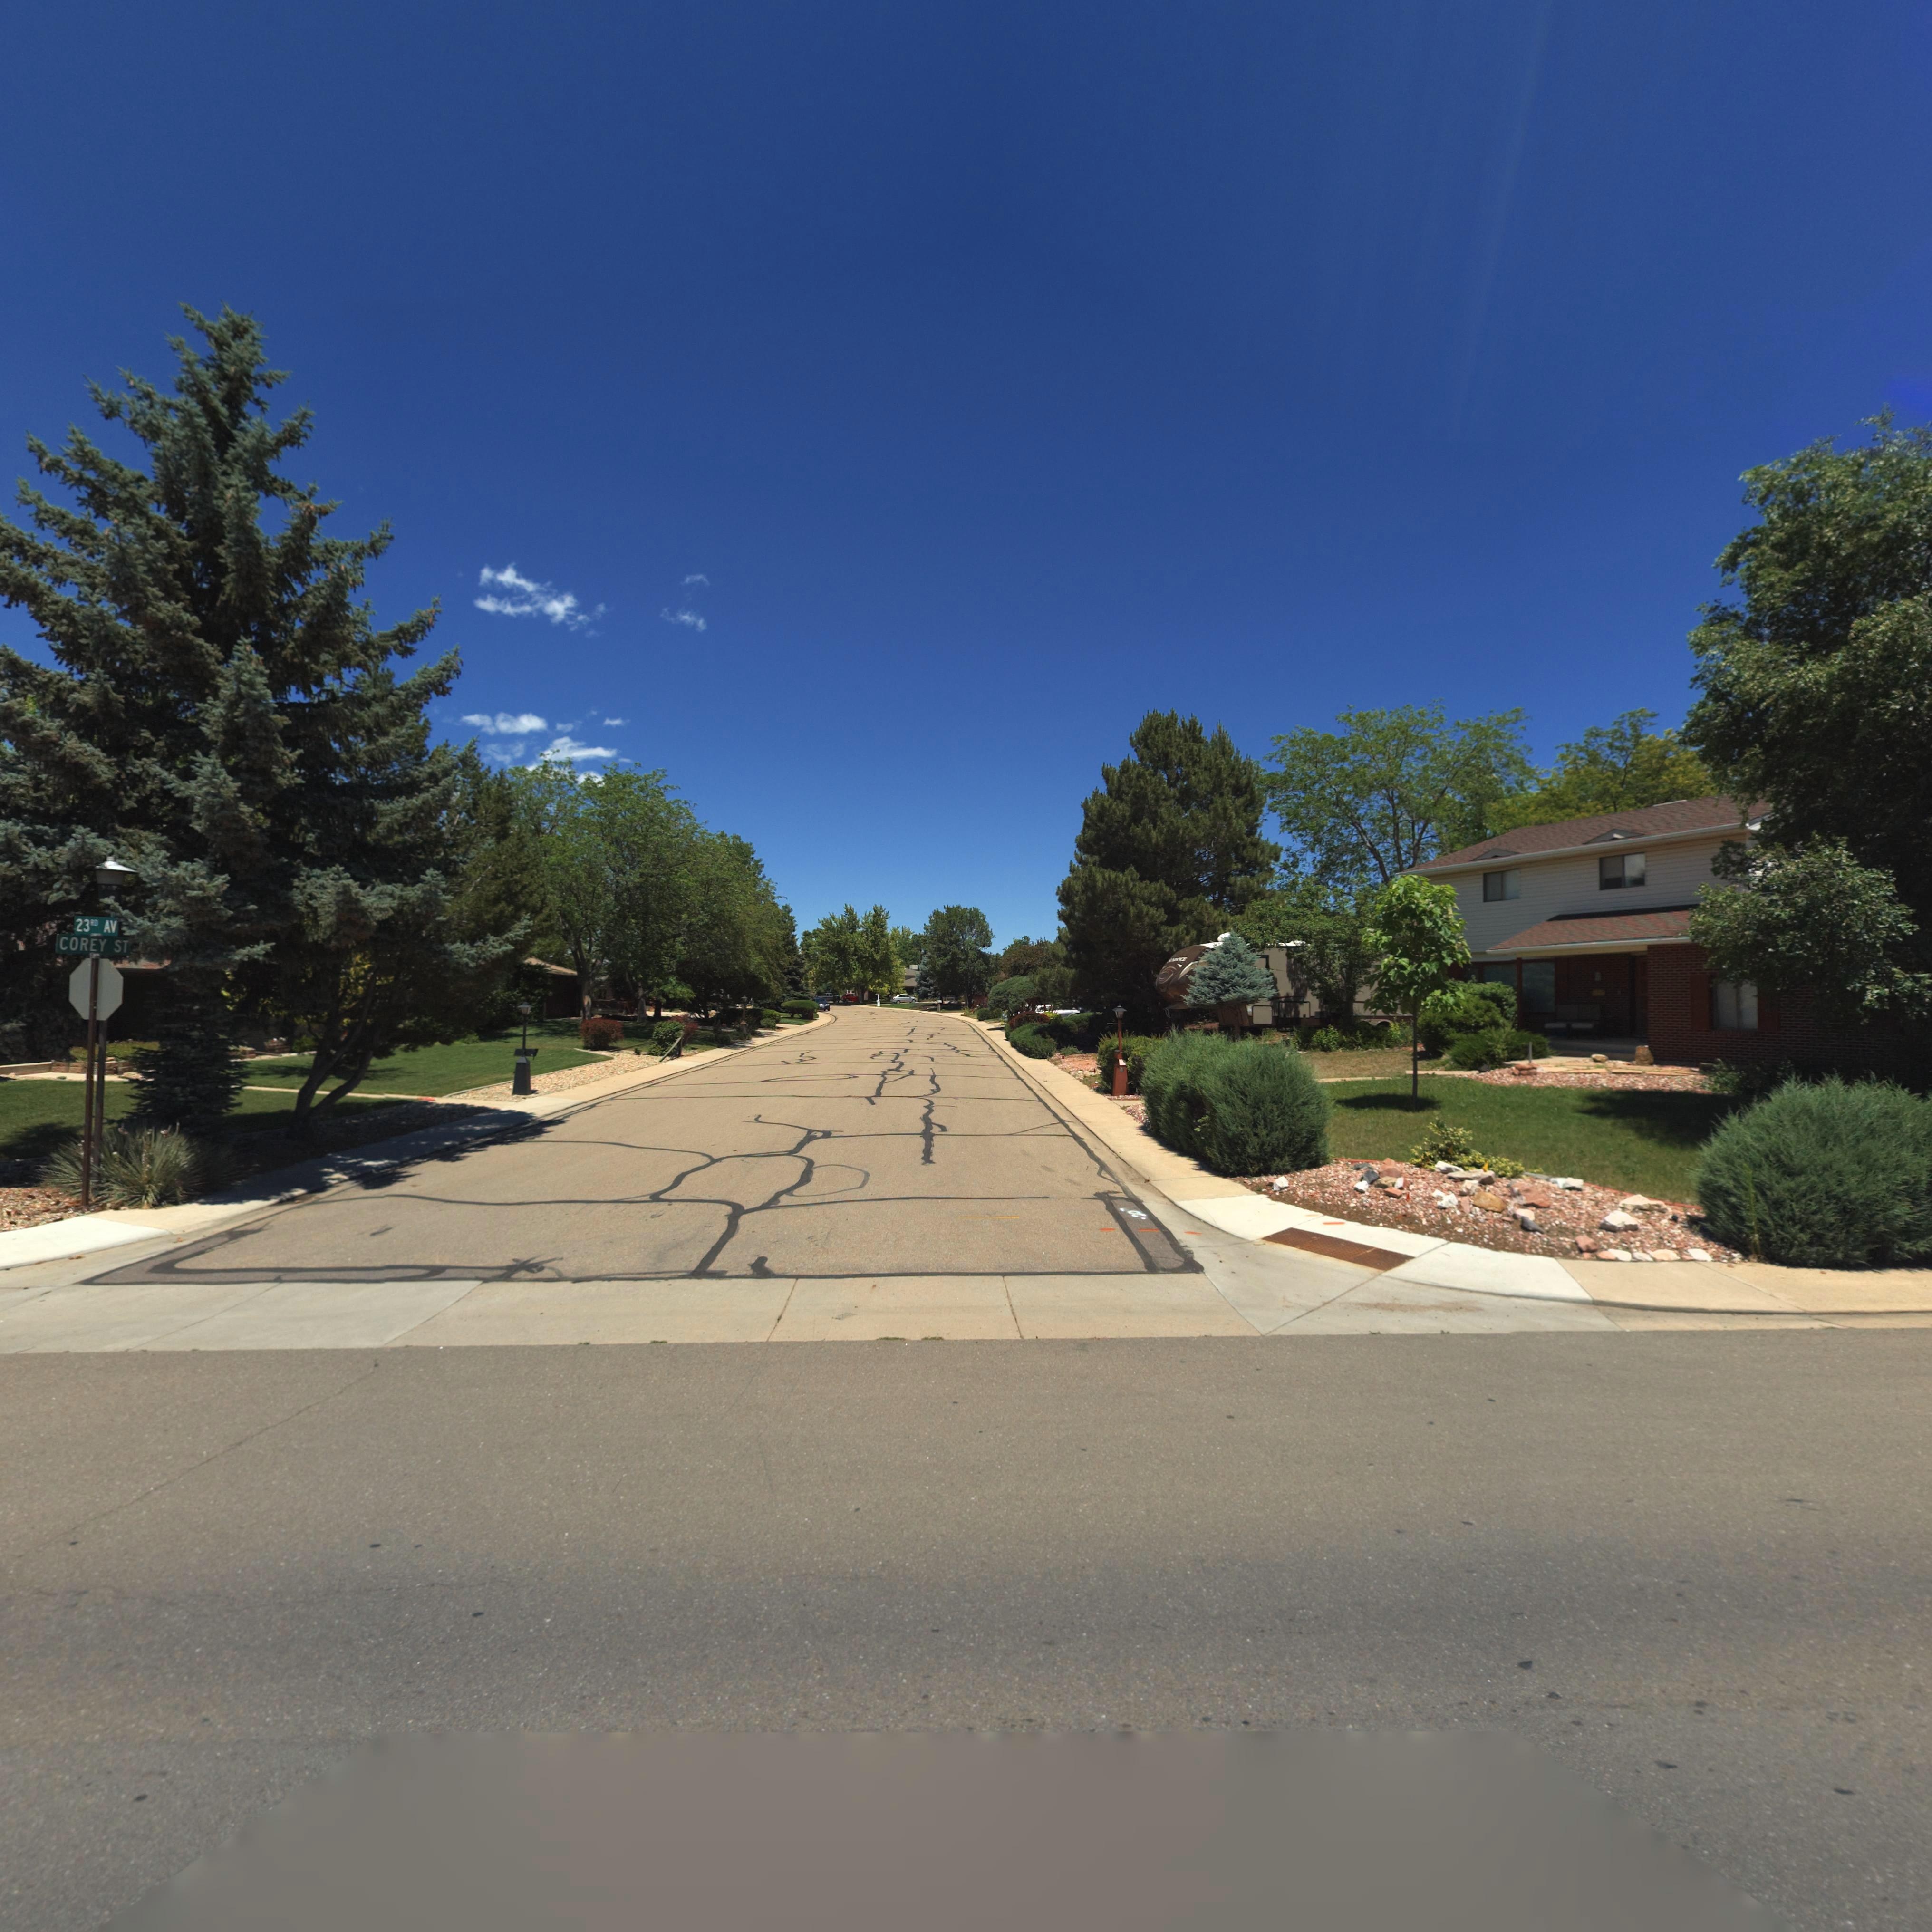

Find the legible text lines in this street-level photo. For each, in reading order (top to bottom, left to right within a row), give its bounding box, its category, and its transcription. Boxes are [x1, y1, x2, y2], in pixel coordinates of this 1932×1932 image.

[76, 918, 118, 934] StreetName: 23RD AV
[59, 936, 130, 954] StreetName: COREY ST